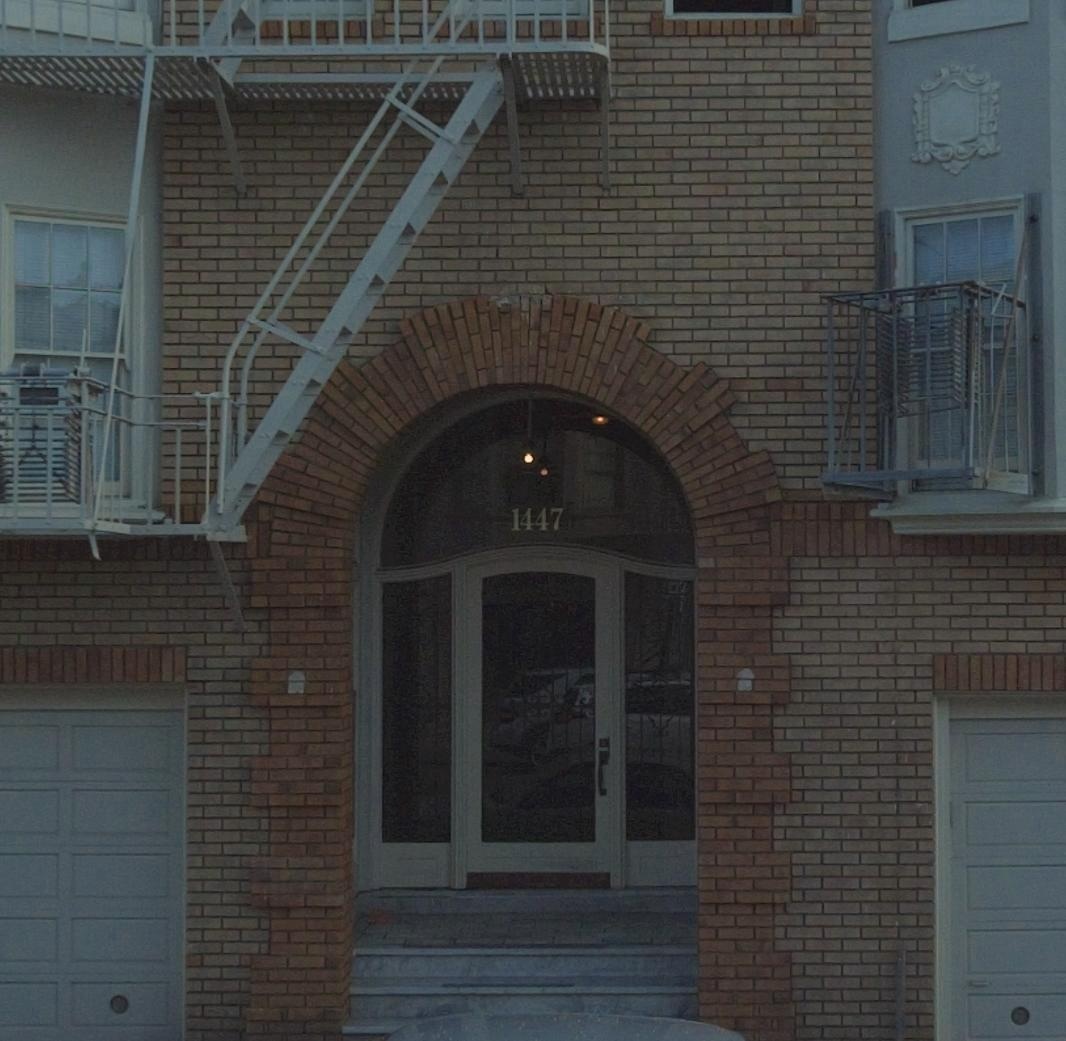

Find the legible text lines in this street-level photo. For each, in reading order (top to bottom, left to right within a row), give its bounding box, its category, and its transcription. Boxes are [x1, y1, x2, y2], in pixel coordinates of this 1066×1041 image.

[508, 505, 567, 534] StreetNumber: 1447